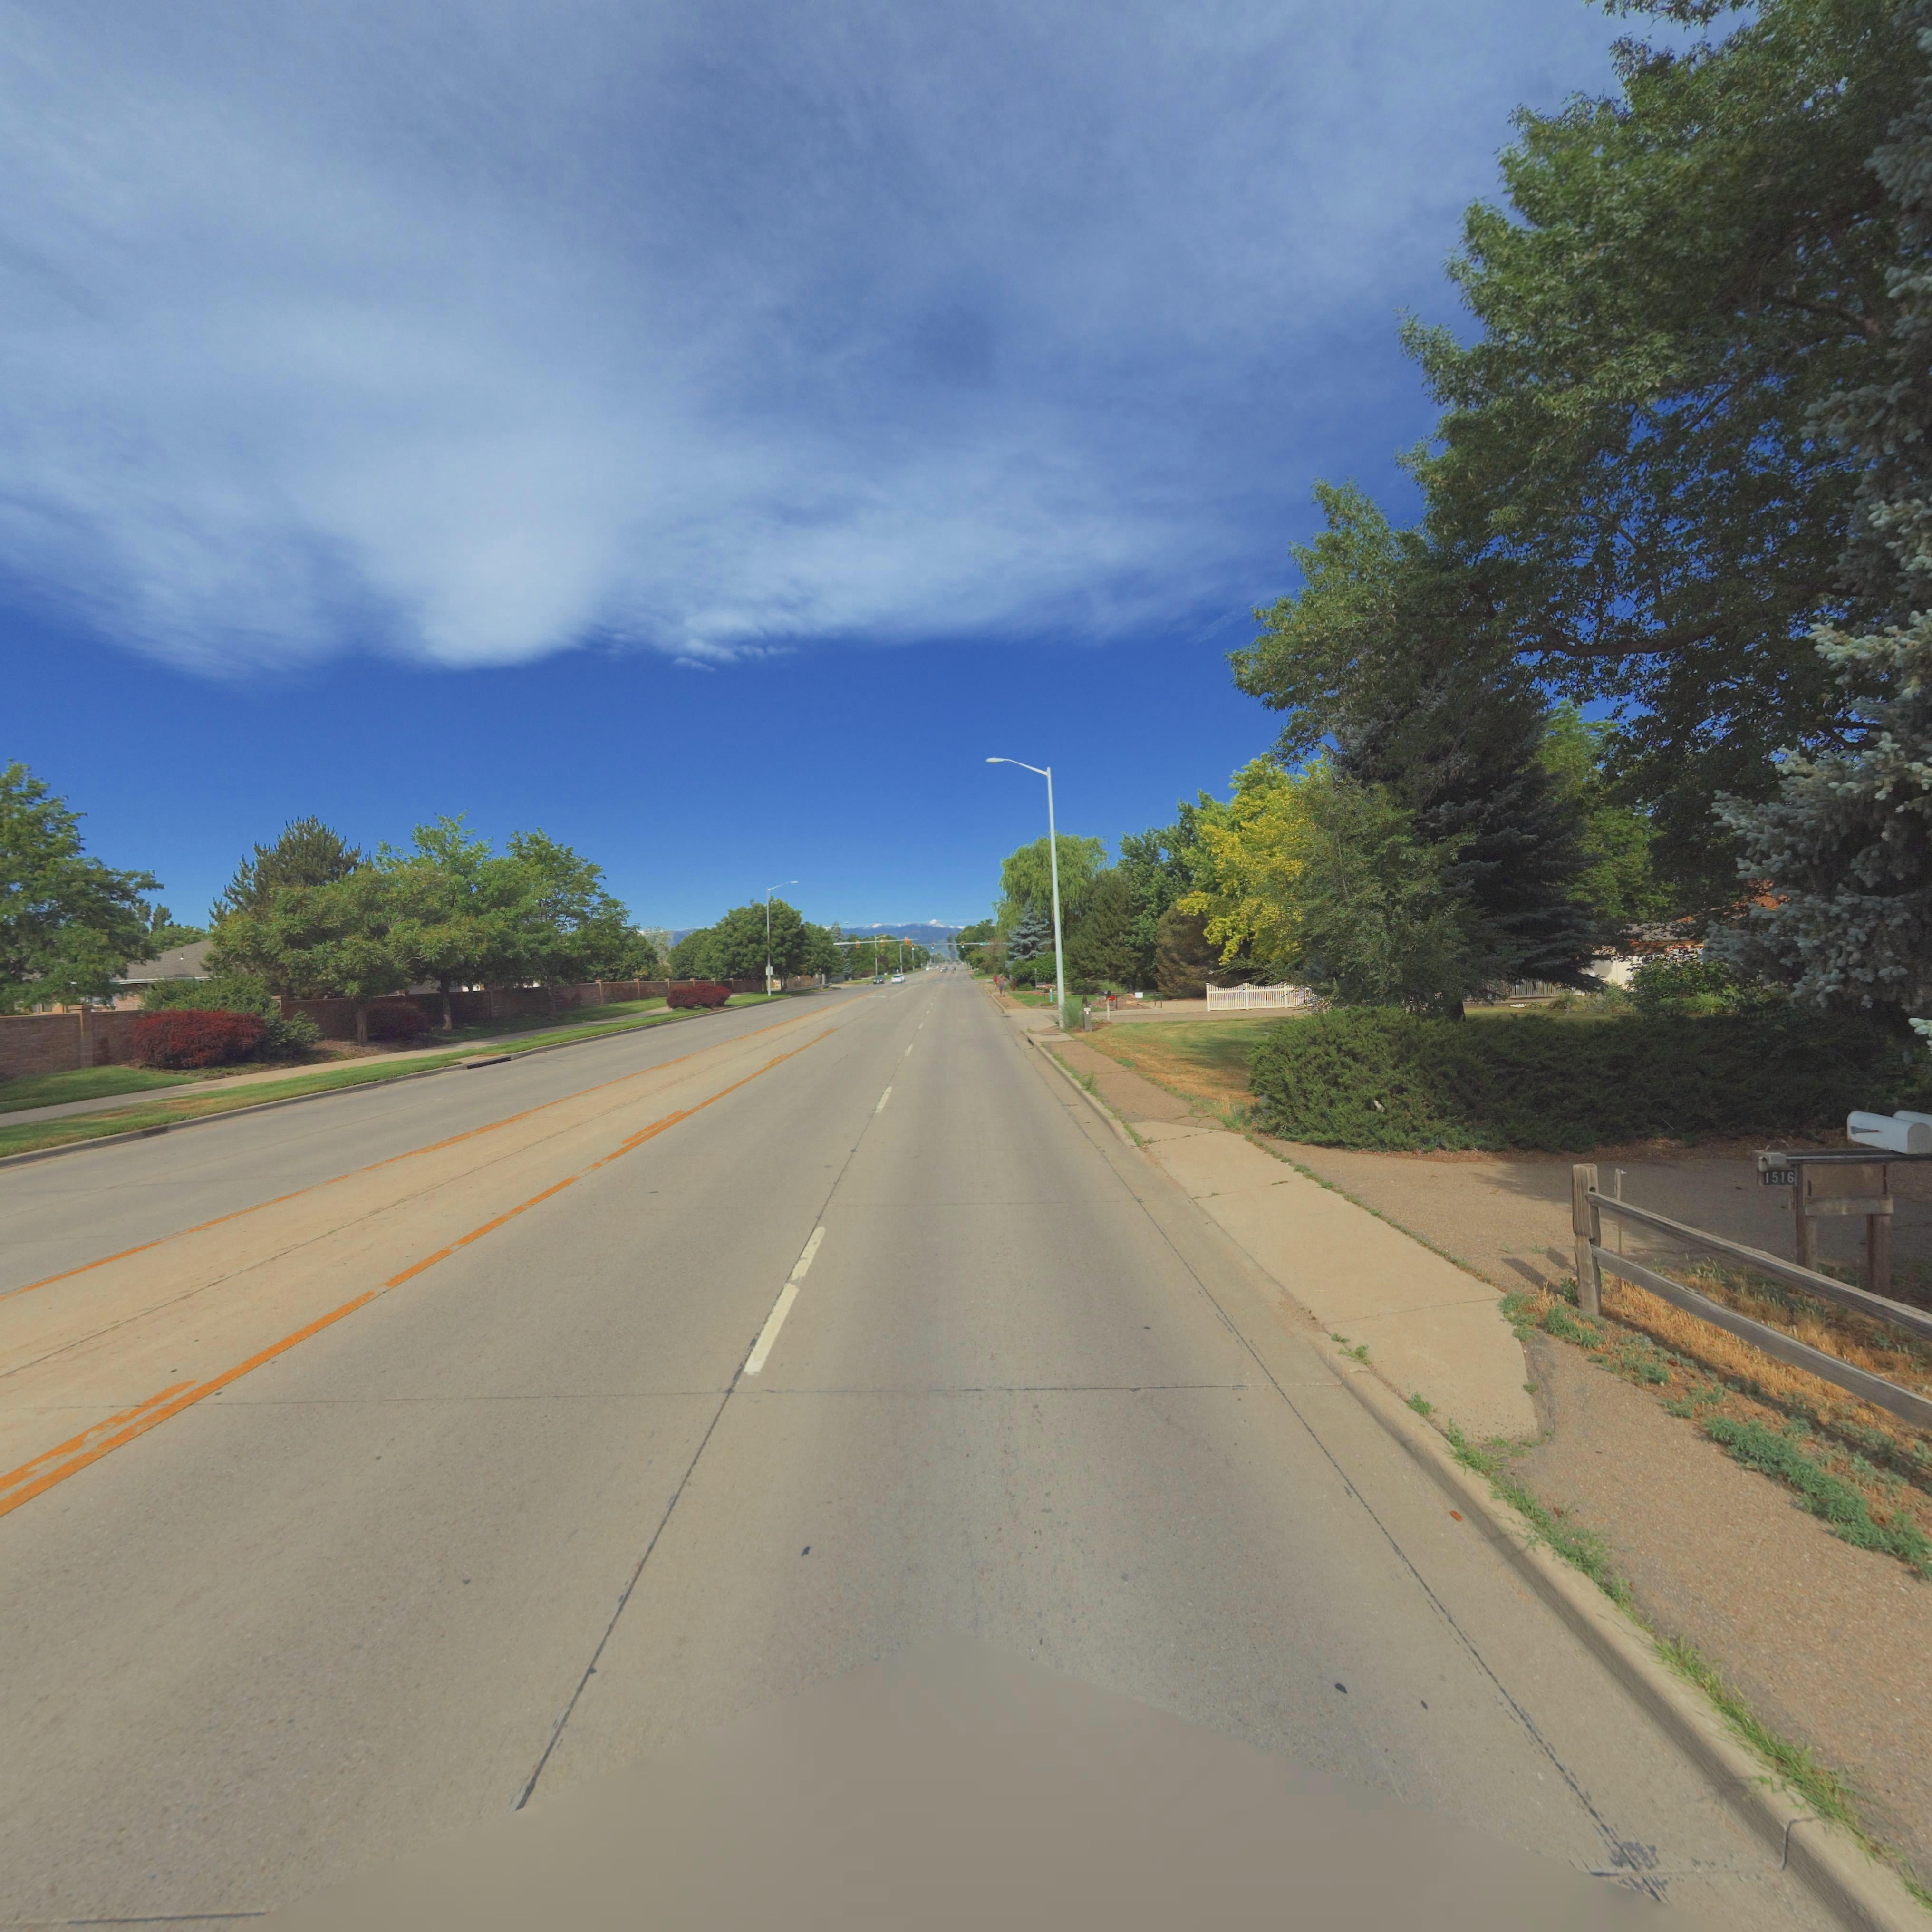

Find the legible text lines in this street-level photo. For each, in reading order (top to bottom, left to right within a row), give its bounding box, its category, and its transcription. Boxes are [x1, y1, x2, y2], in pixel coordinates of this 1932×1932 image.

[1765, 1171, 1794, 1183] StreetNumber: 1516